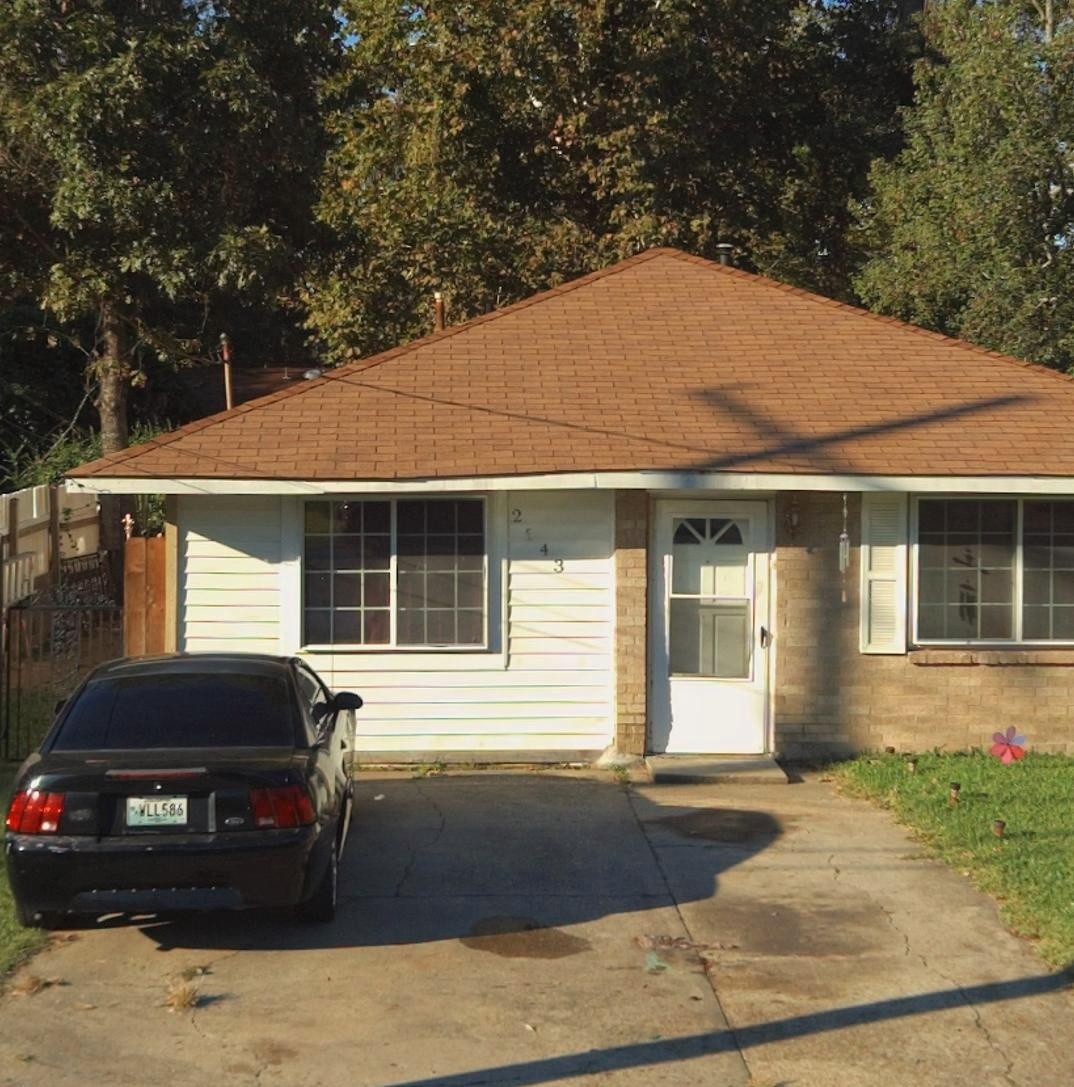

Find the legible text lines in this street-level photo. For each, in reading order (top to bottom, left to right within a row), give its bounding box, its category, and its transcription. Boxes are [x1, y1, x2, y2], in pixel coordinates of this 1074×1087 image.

[510, 506, 566, 574] StreetNumber: 2*43
[137, 802, 184, 818] None: WLL568